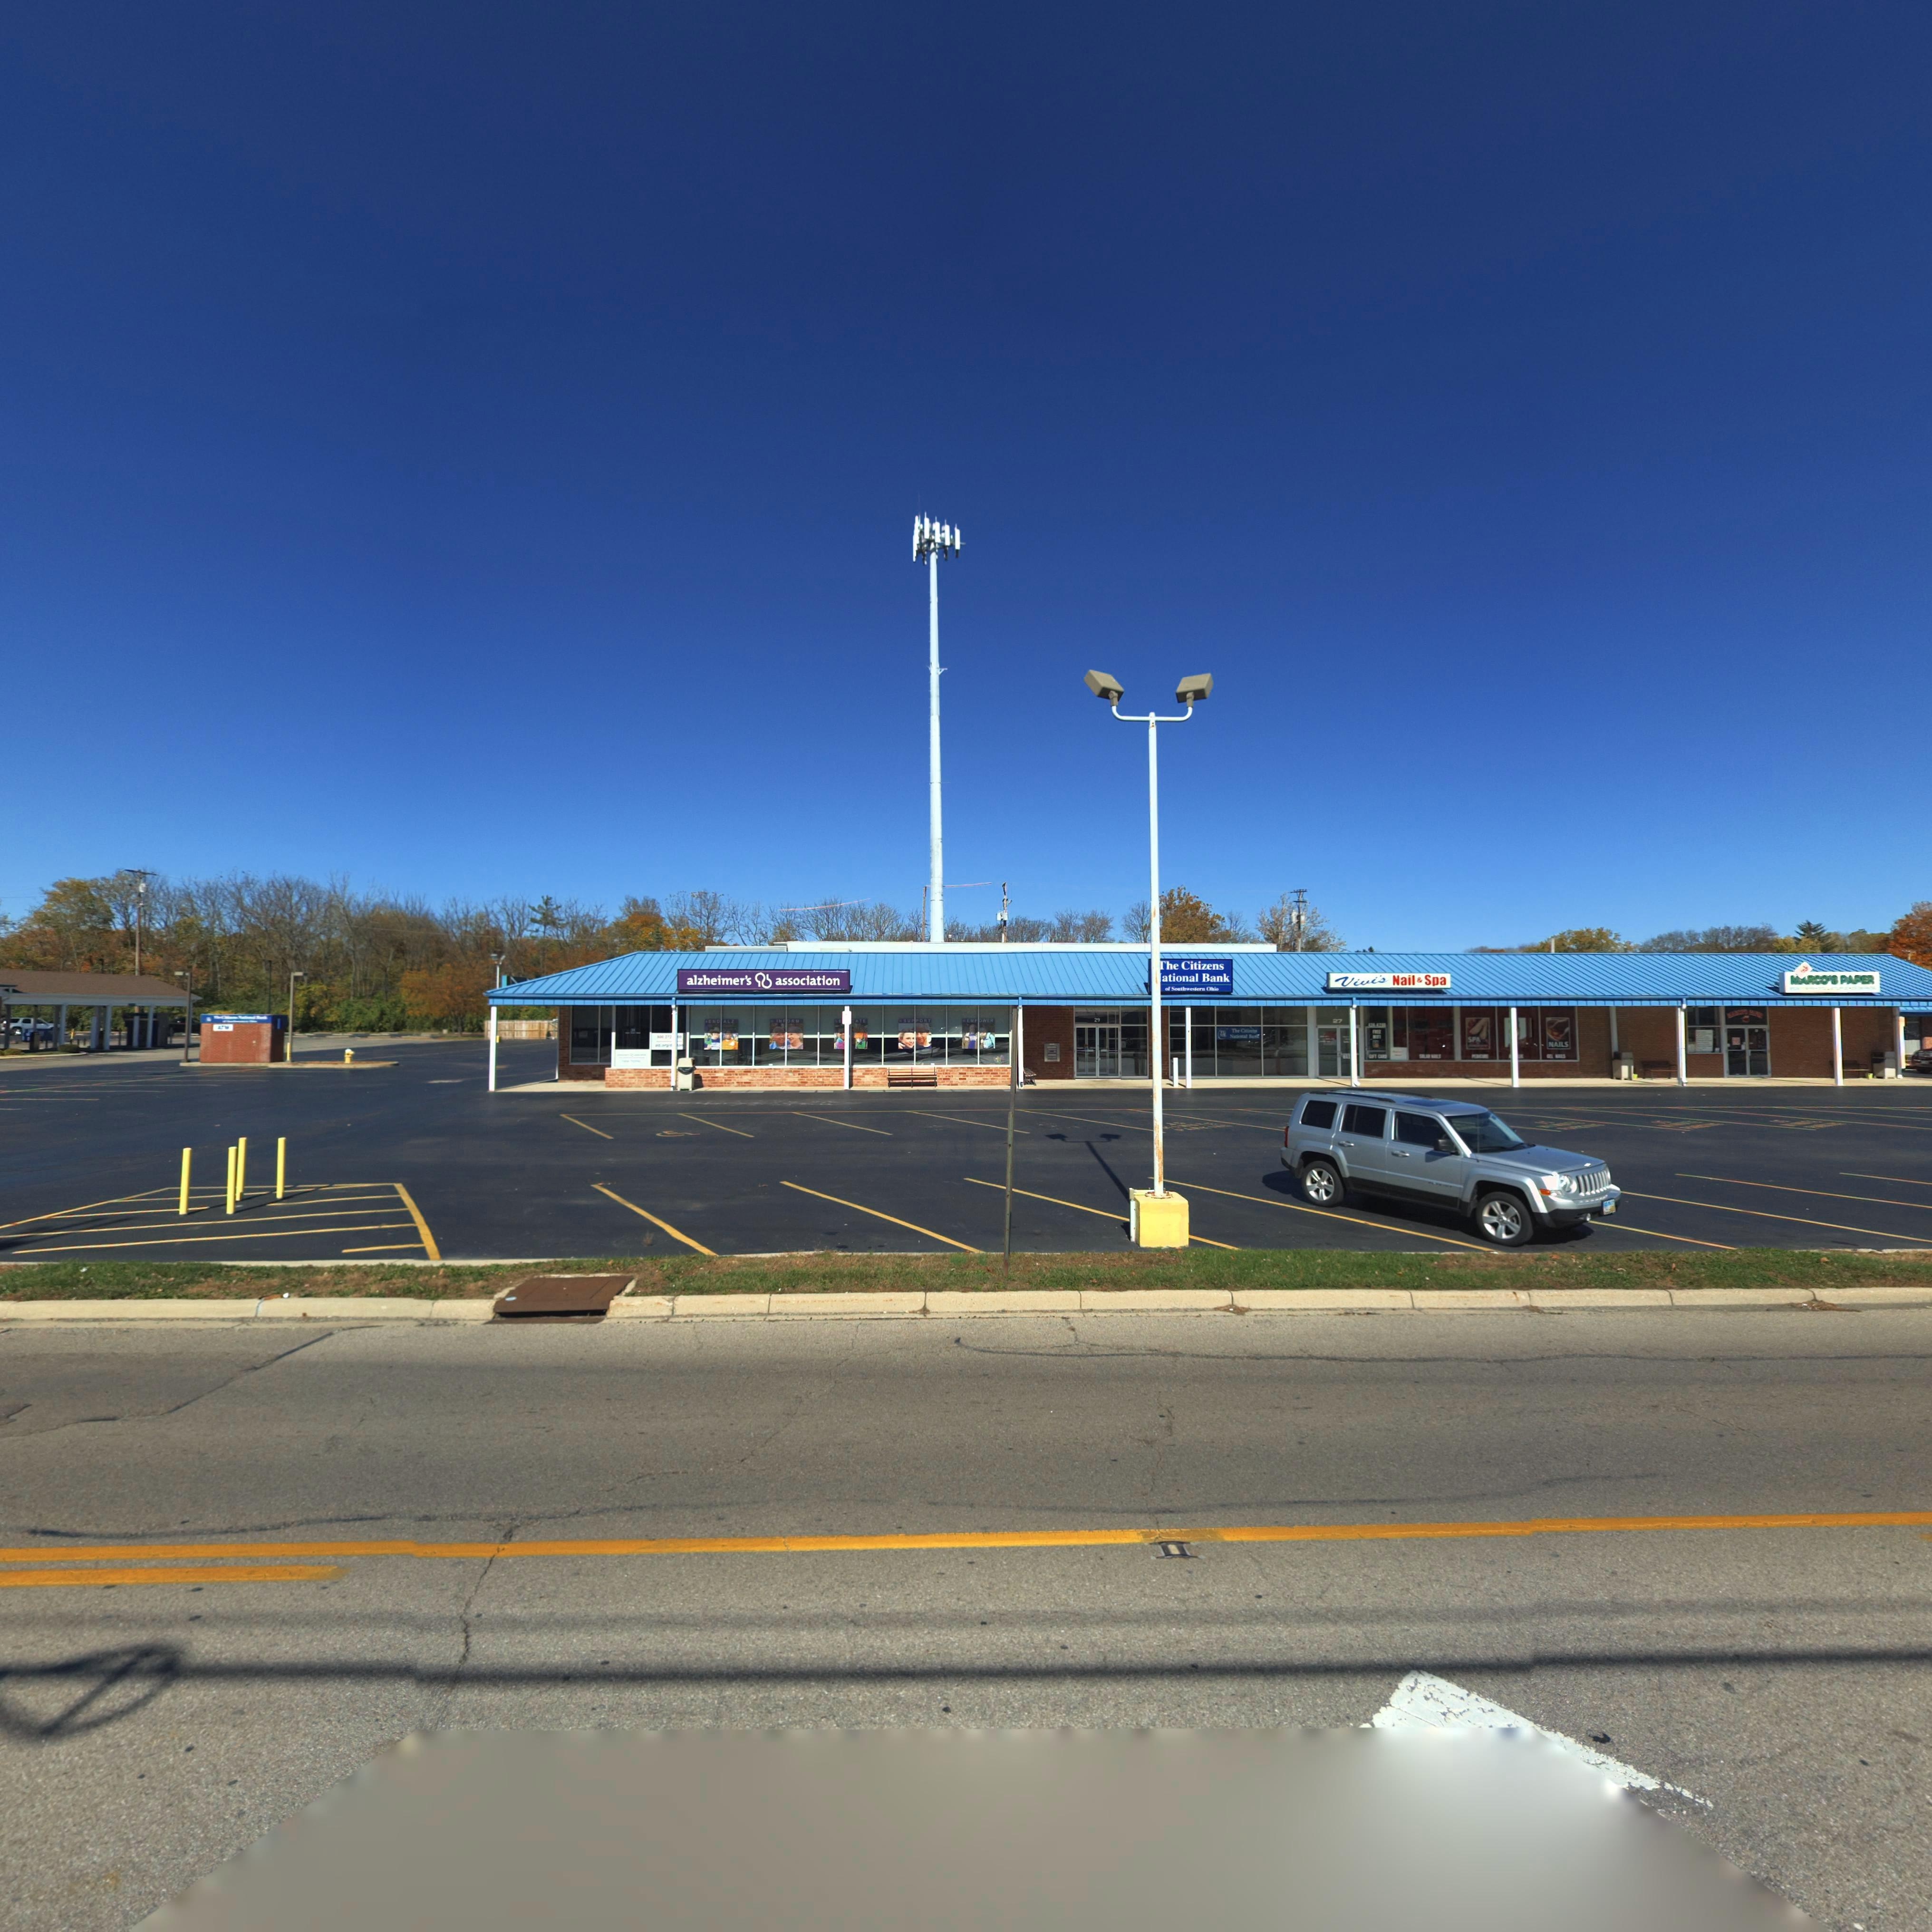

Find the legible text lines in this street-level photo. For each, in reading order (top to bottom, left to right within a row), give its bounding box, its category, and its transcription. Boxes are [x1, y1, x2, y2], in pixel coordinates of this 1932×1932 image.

[1166, 960, 1225, 971] BusinessName: he Citizens
[686, 974, 840, 986] BusinessName: alzheimer's * association
[1161, 972, 1231, 983] BusinessName: ational Bank
[1333, 974, 1447, 987] BusinessName: Vivi's Nail & Spa
[1790, 974, 1875, 985] BusinessName: MARCO'S PAPER
[1164, 985, 1219, 992] None: of Southwestern Ohio
[707, 1019, 735, 1024] None: END*ALZ
[775, 1019, 800, 1024] None: IM*ORM
[838, 1018, 867, 1024] None: E***ATE
[902, 1018, 931, 1023] None: SUPPORT
[966, 1018, 994, 1023] None: EMPOWER
[1093, 1017, 1101, 1023] StreetNumber: 29
[1332, 1018, 1343, 1024] StreetNumber: 27
[216, 1025, 230, 1030] None: ATM
[1230, 1028, 1258, 1034] BusinessName: The Cit*****
[658, 1035, 672, 1039] None: 00 272
[1229, 1034, 1234, 1039] BusinessName: N
[1467, 1036, 1482, 1043] None: SPA
[1547, 1041, 1569, 1048] None: NAILS
[1368, 1053, 1388, 1060] None: GIFT CARD
[1546, 1053, 1555, 1059] None: GEL